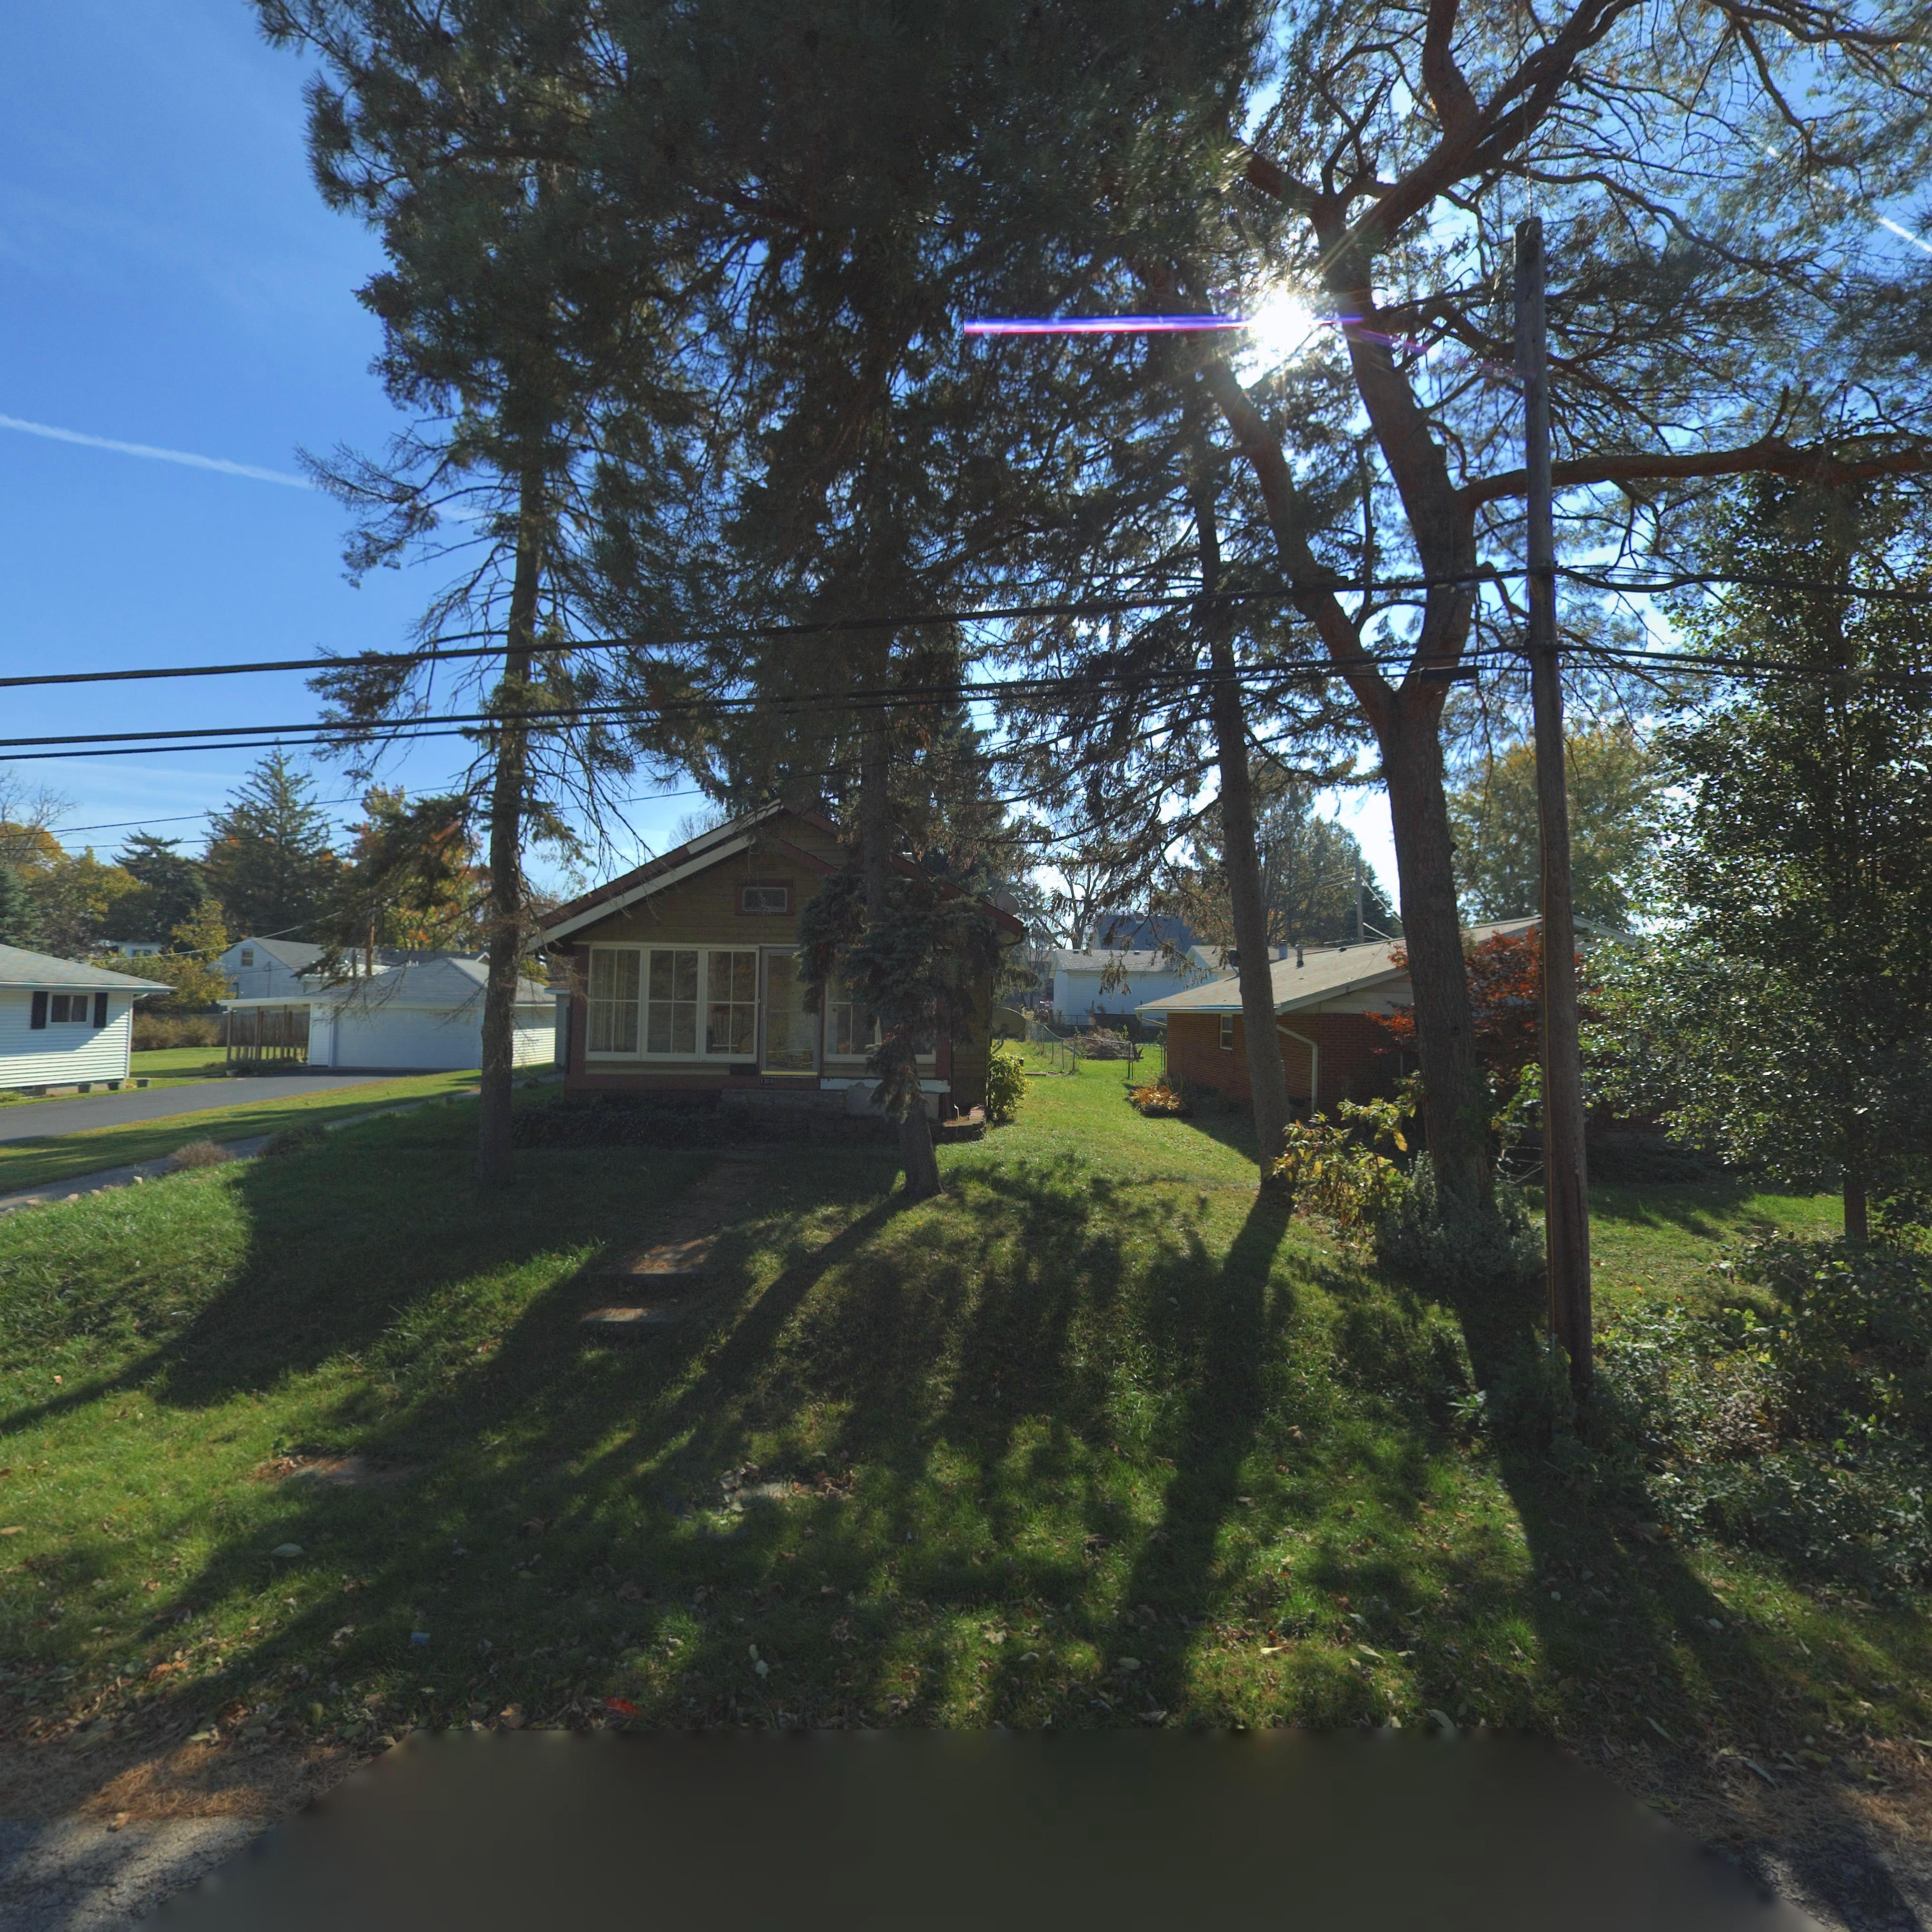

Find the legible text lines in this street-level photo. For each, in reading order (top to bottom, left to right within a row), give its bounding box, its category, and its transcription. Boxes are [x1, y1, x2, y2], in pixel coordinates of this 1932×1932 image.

[760, 1078, 773, 1084] StreetNumber: 1308